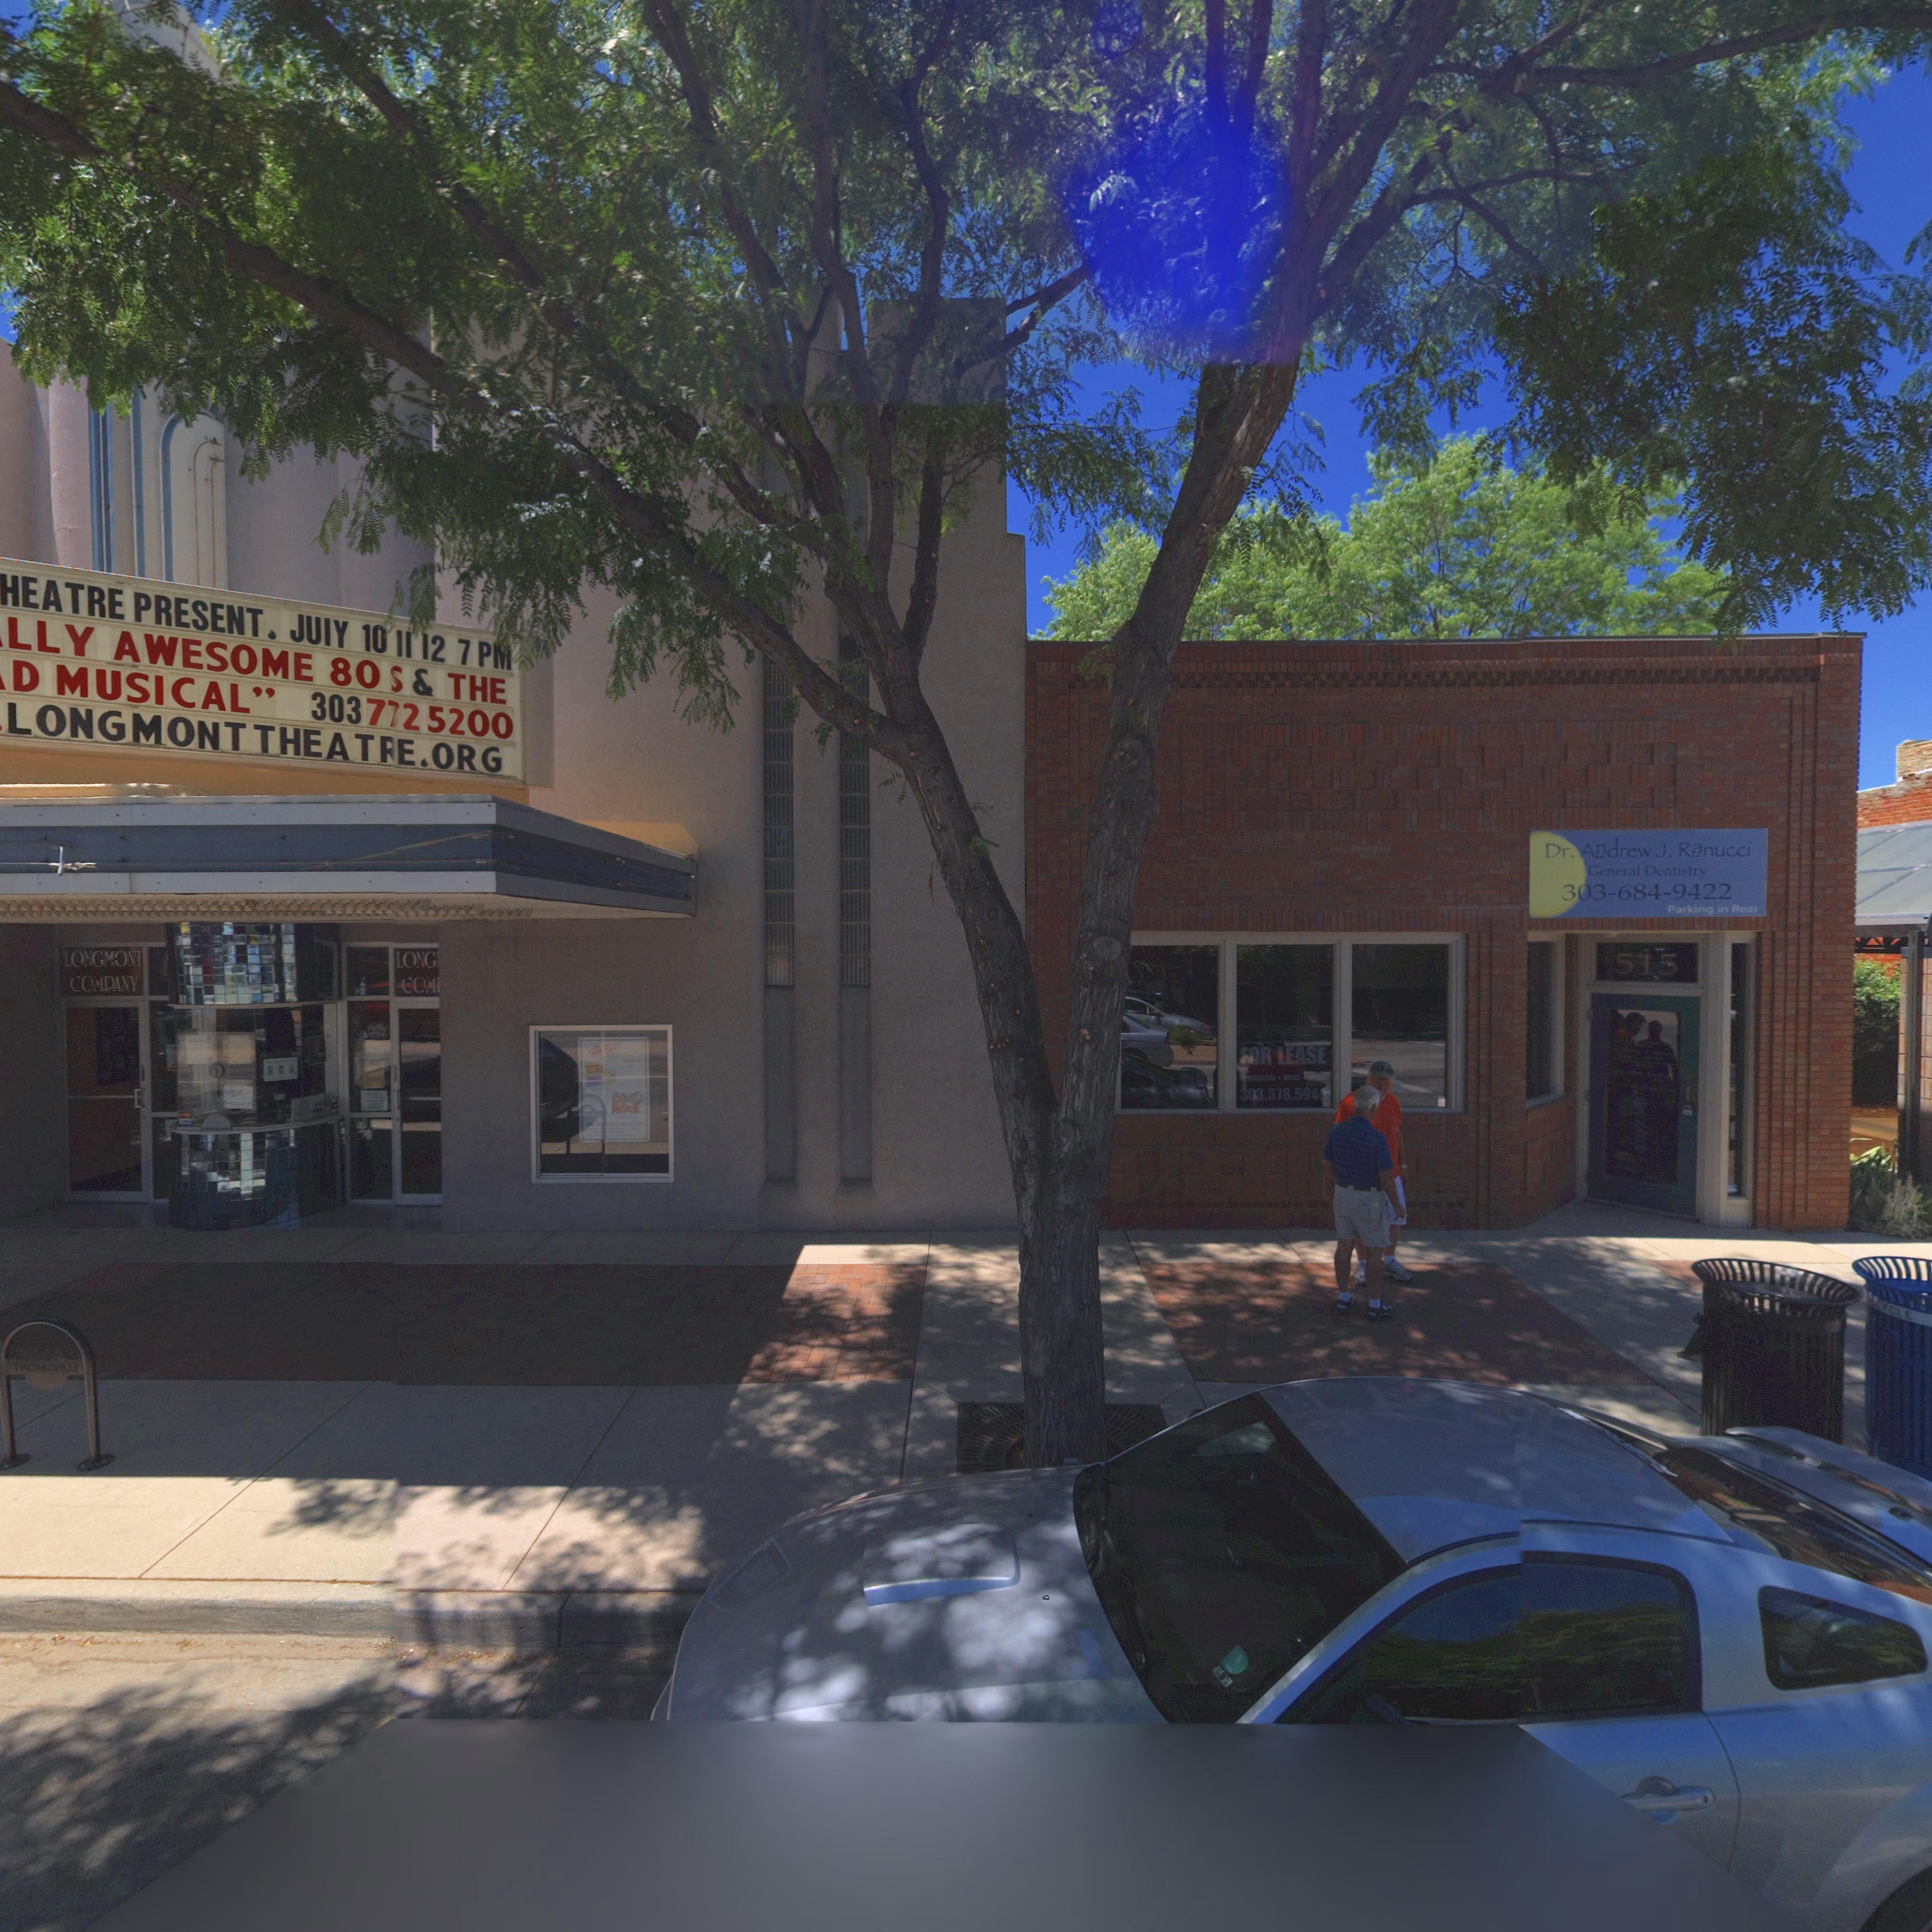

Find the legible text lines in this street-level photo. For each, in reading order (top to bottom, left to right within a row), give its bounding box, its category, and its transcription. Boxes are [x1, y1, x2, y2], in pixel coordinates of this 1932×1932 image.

[1544, 837, 1753, 859] BusinessName: Dr. Andrew J. Ranucci
[1587, 864, 1709, 879] BusinessName: General Dentistry
[1615, 951, 1680, 976] StreetNumber: 515